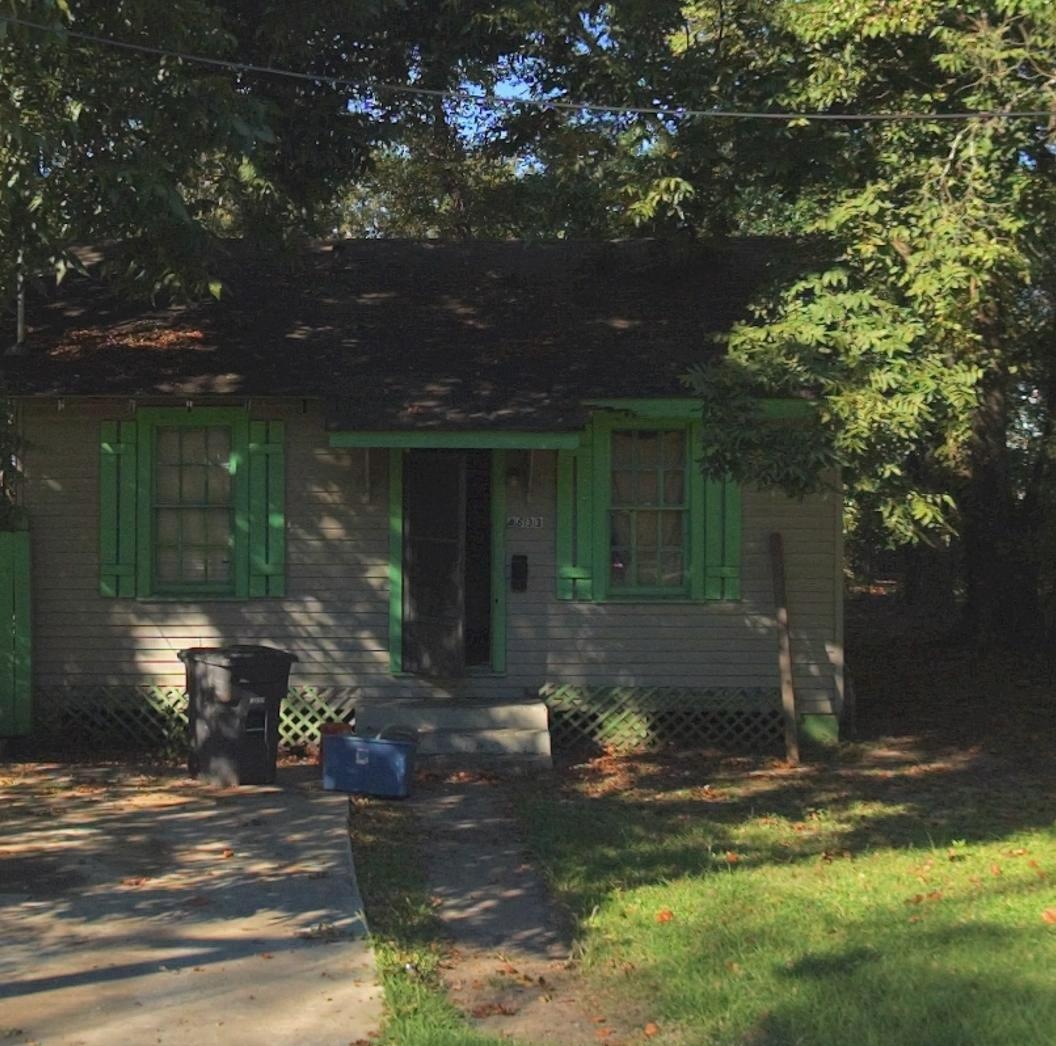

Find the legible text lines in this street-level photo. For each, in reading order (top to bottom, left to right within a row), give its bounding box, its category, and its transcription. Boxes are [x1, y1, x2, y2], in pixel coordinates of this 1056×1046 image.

[506, 517, 543, 529] StreetNumber: 4833